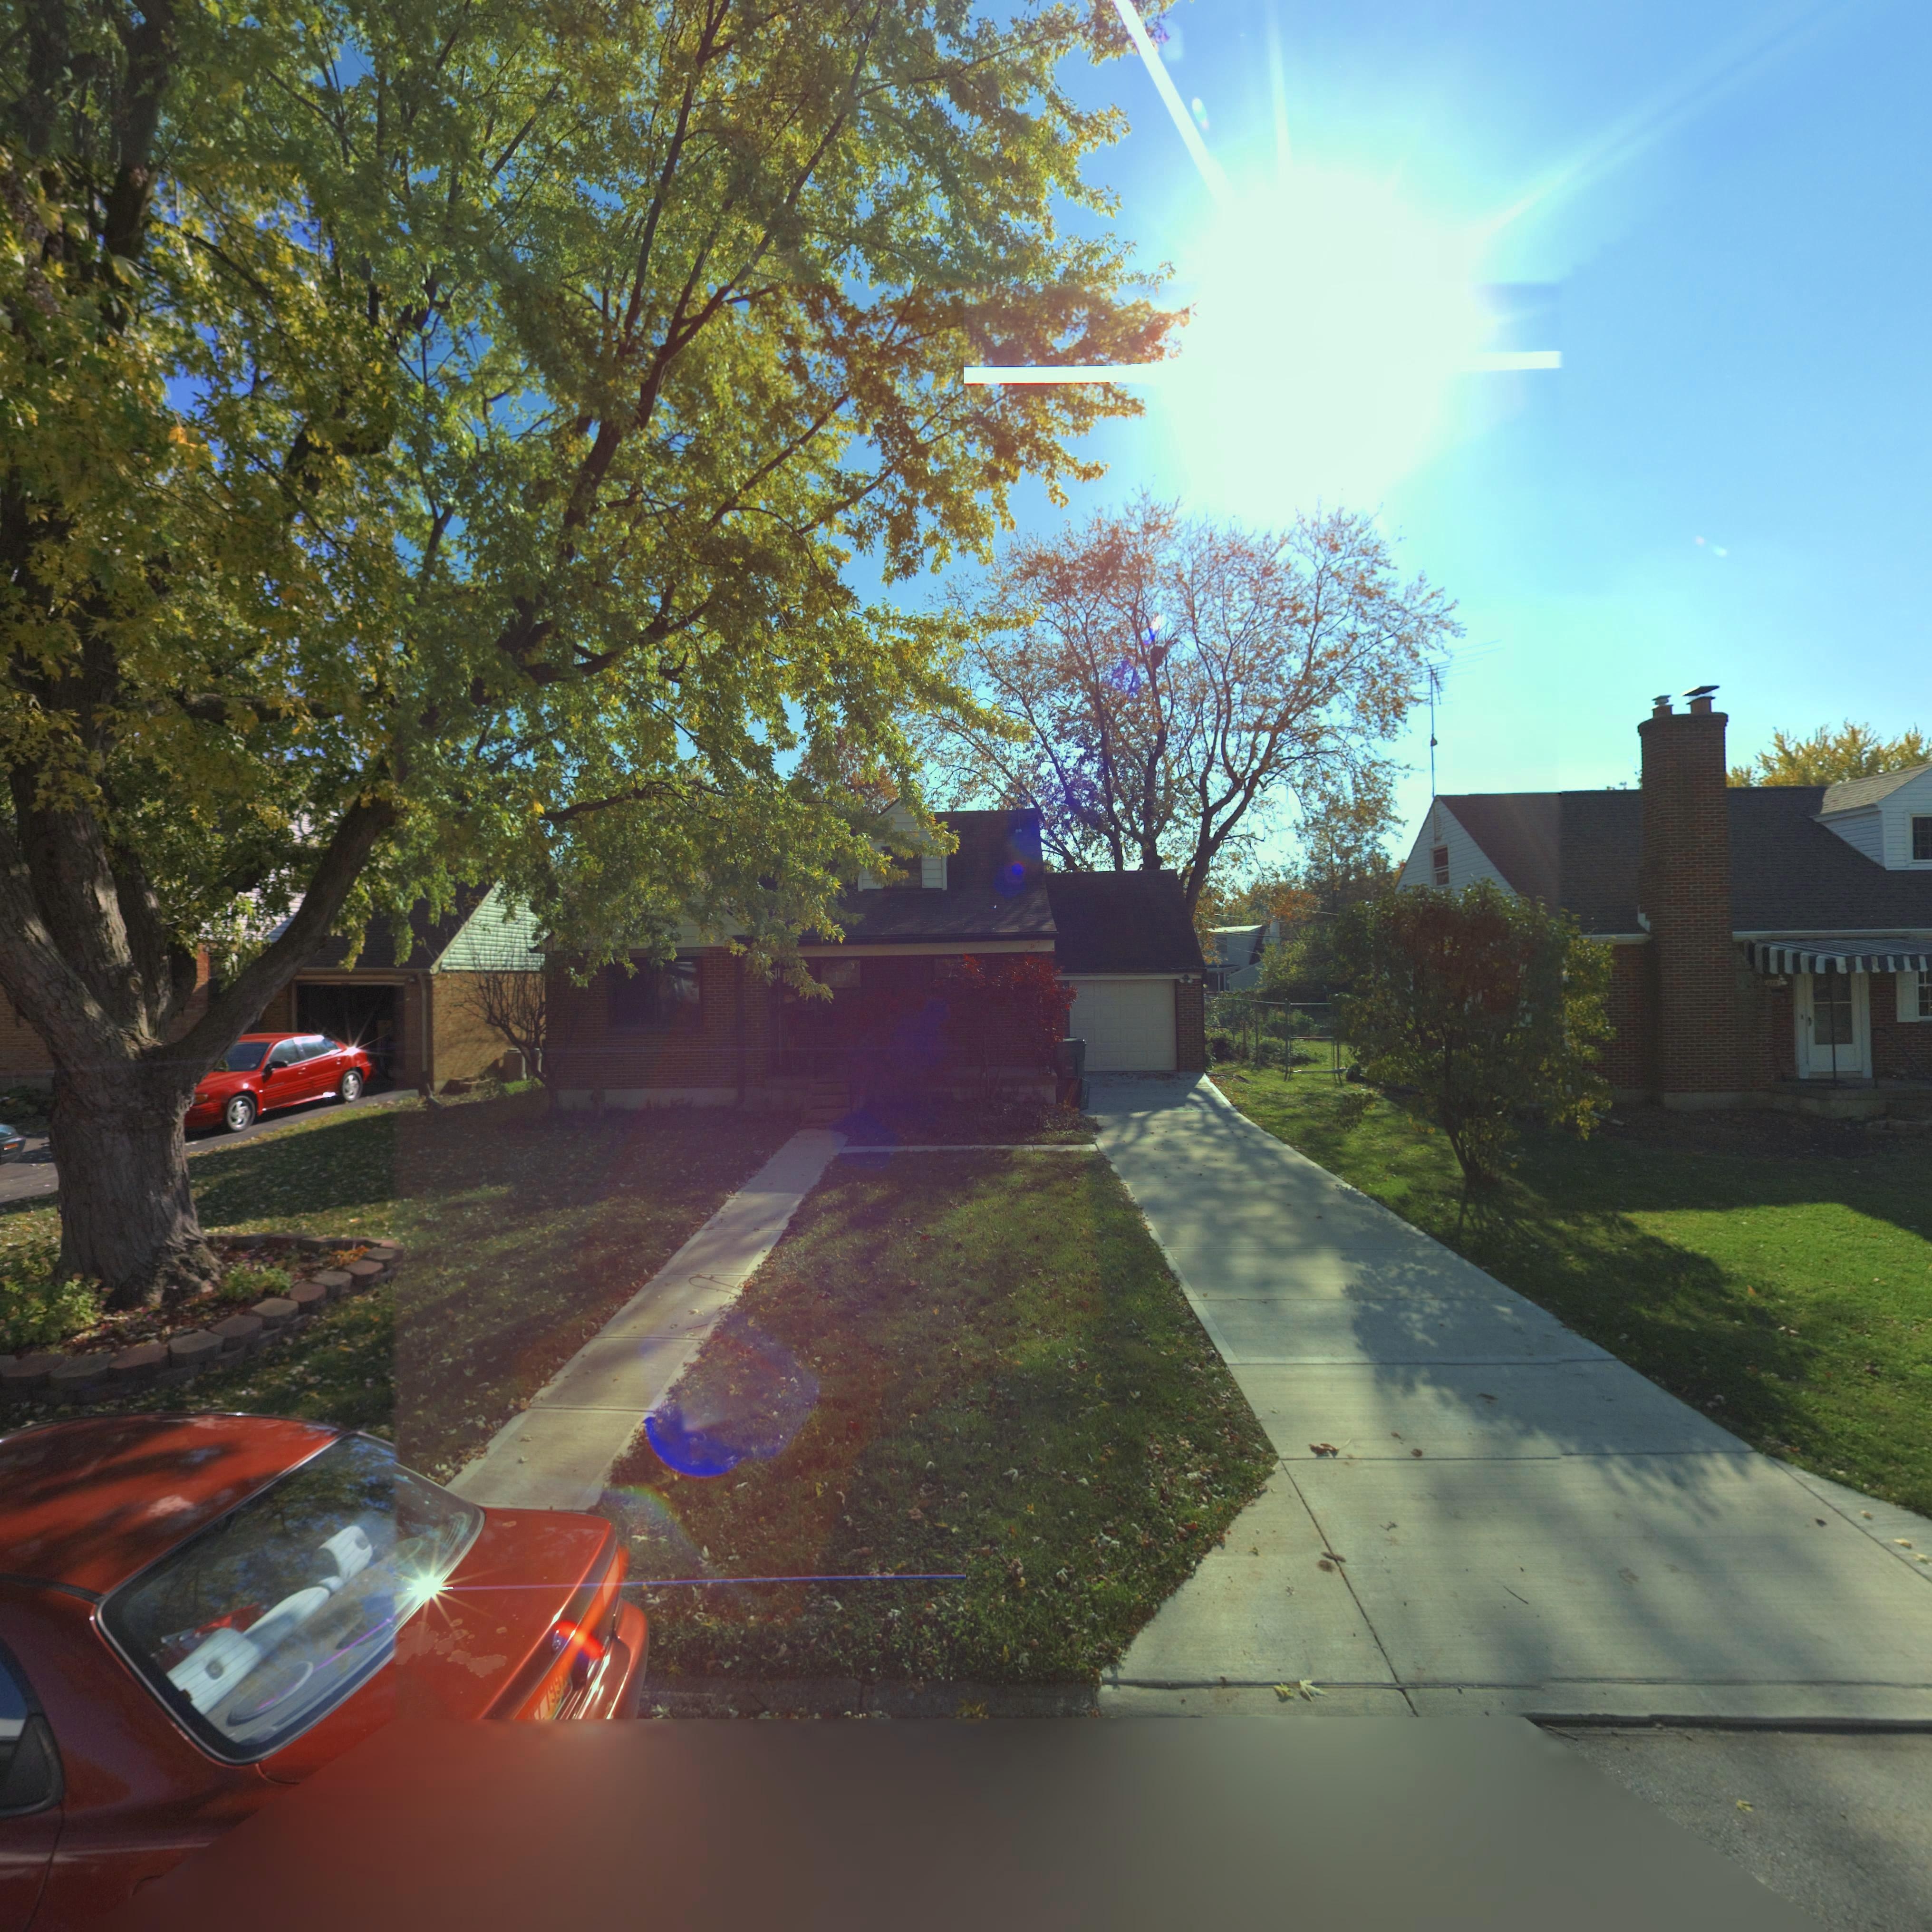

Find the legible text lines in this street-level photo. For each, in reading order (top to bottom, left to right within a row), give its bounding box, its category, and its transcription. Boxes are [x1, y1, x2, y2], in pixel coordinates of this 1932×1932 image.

[801, 994, 809, 1005] StreetNumber: 8